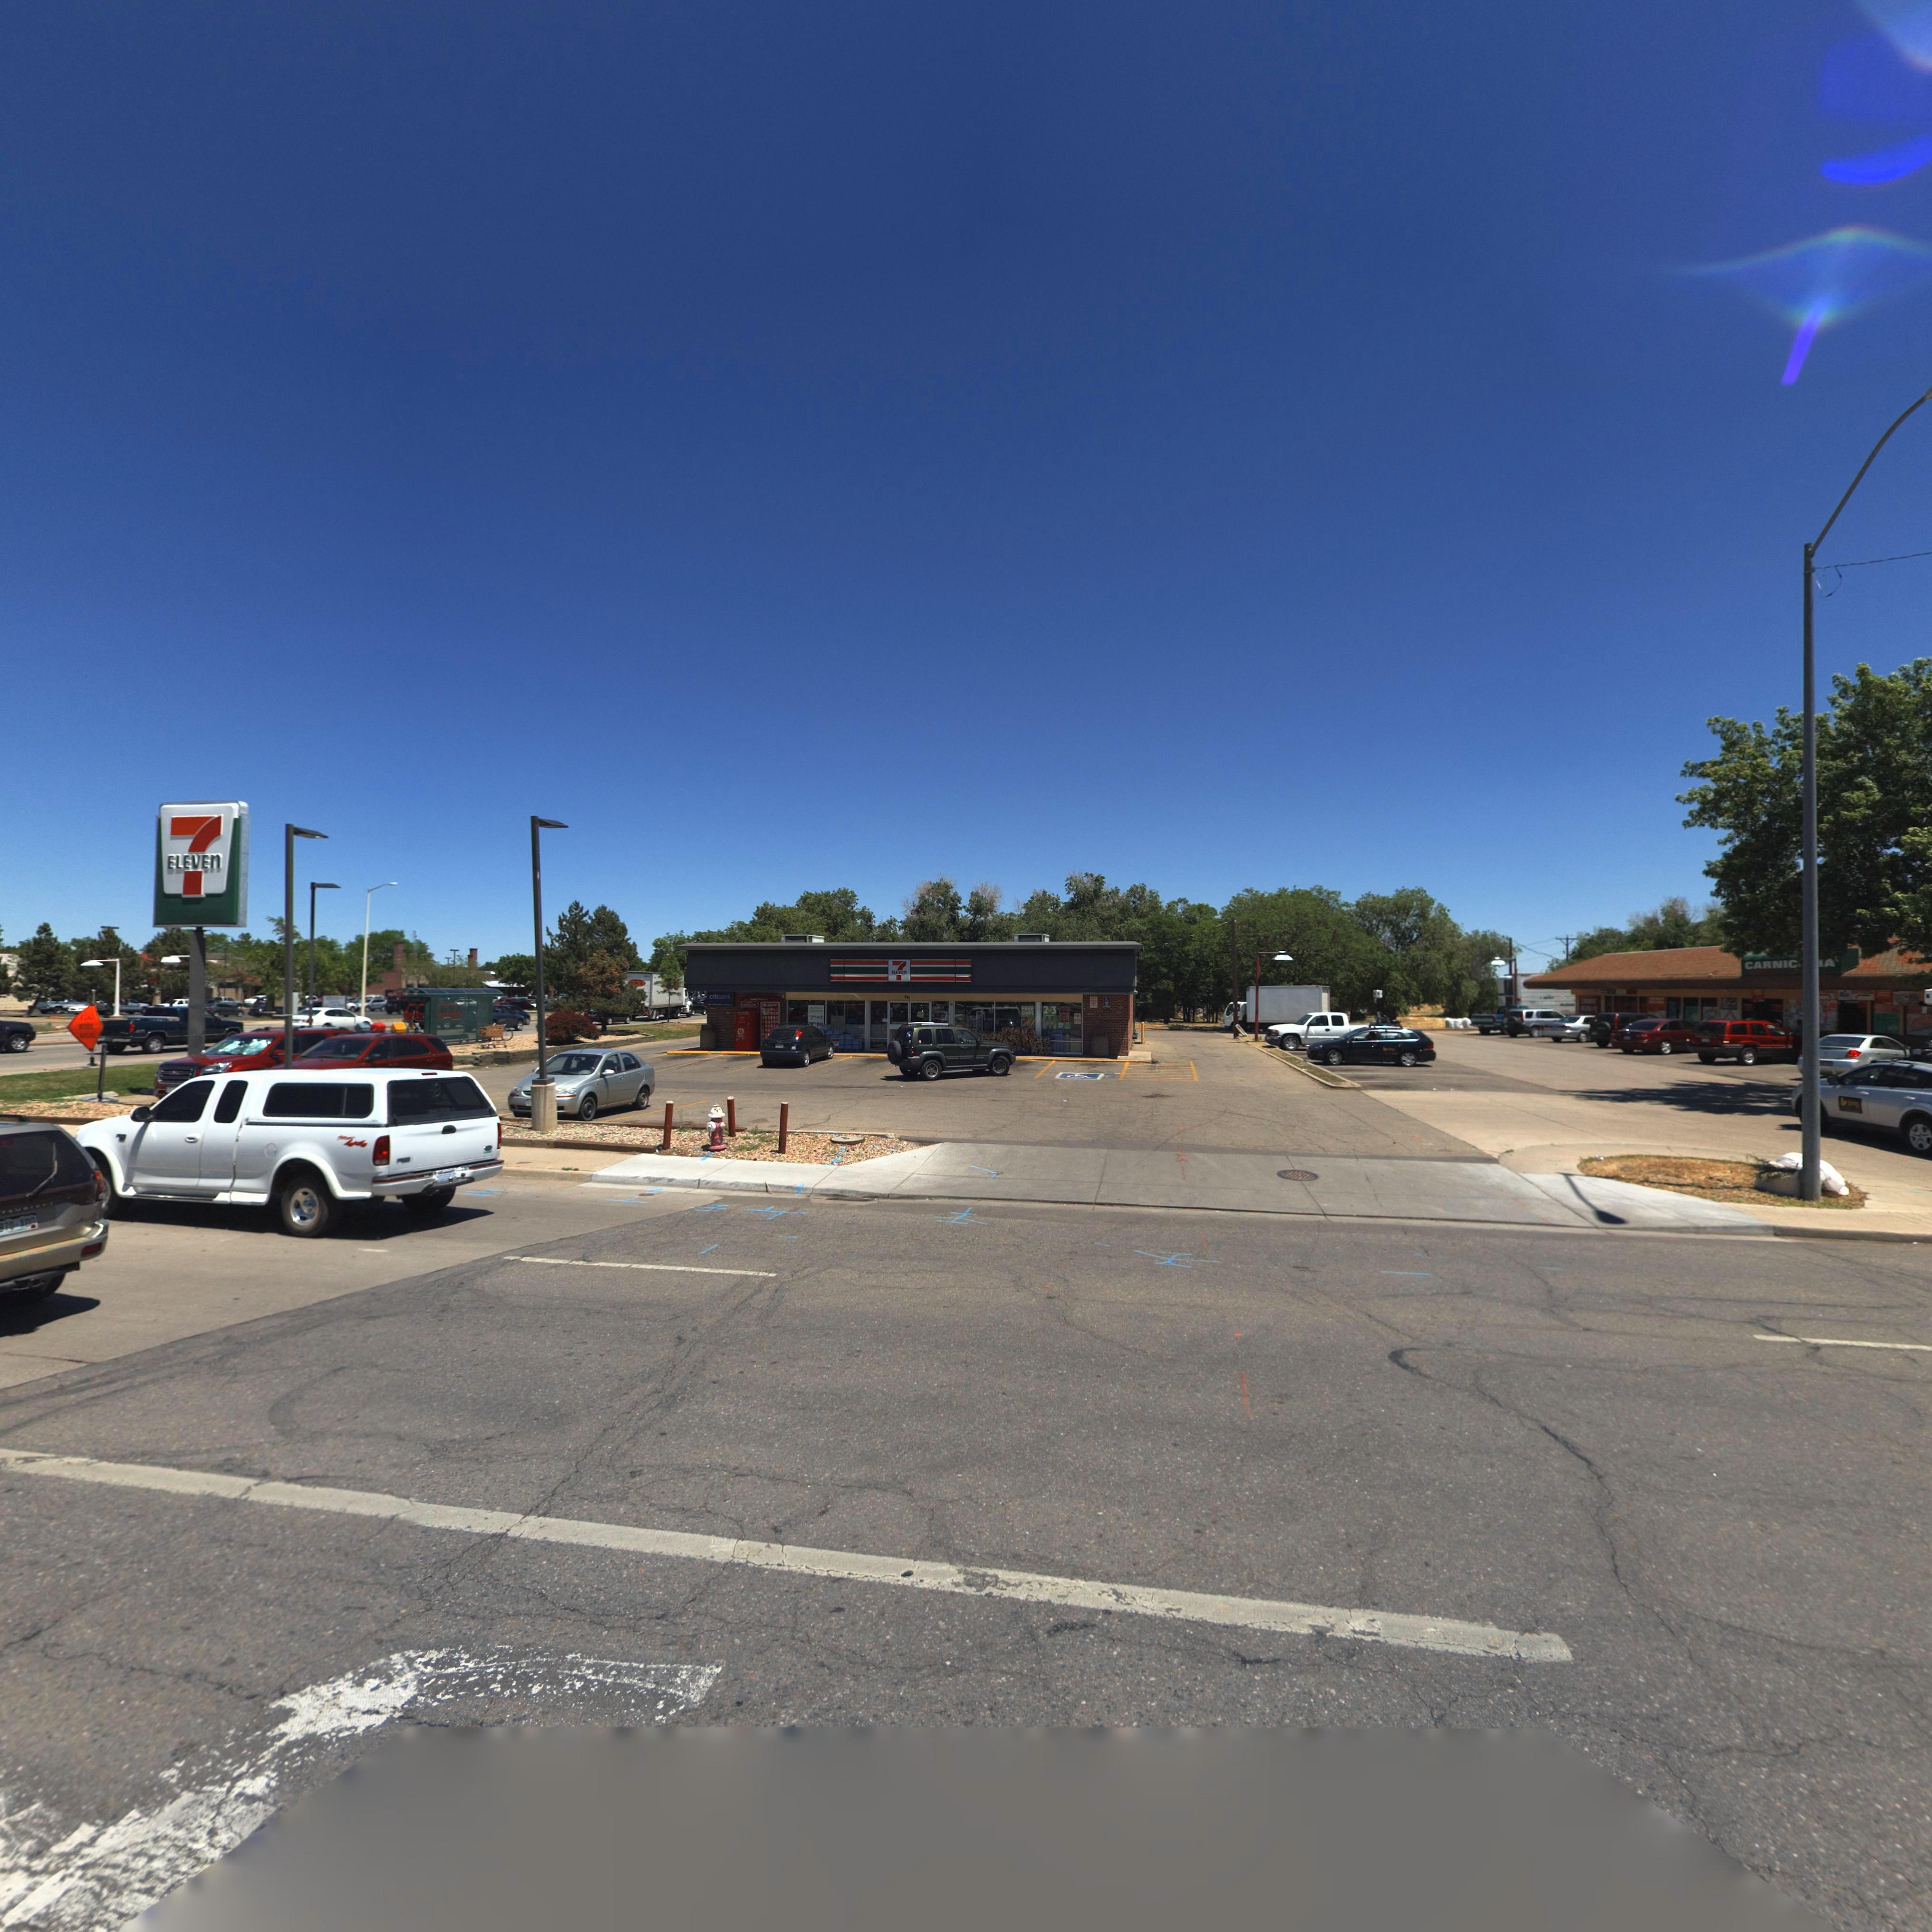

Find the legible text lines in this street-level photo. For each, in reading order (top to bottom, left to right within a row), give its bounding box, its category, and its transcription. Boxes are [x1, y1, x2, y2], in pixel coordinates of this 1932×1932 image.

[167, 853, 222, 870] BusinessName: ELEVEN
[169, 814, 224, 897] BusinessName: 7
[891, 970, 907, 975] BusinessName: ELEVEN
[892, 960, 907, 981] BusinessName: 7
[903, 994, 910, 1000] StreetNumber: 841